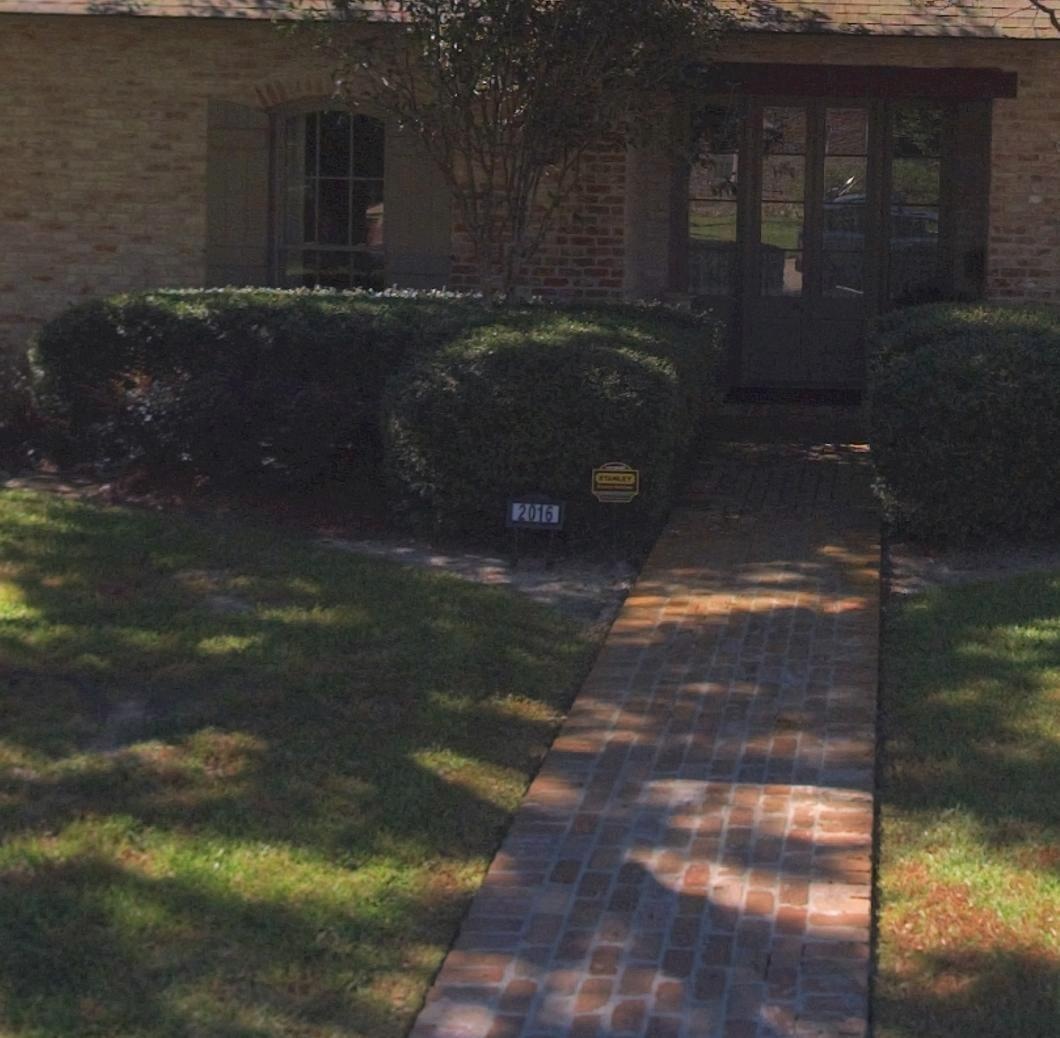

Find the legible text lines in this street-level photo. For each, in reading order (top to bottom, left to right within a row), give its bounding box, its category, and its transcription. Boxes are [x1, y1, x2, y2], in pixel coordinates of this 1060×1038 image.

[597, 473, 635, 485] None: ST*NLEY
[516, 502, 555, 524] StreetNumber: 2016